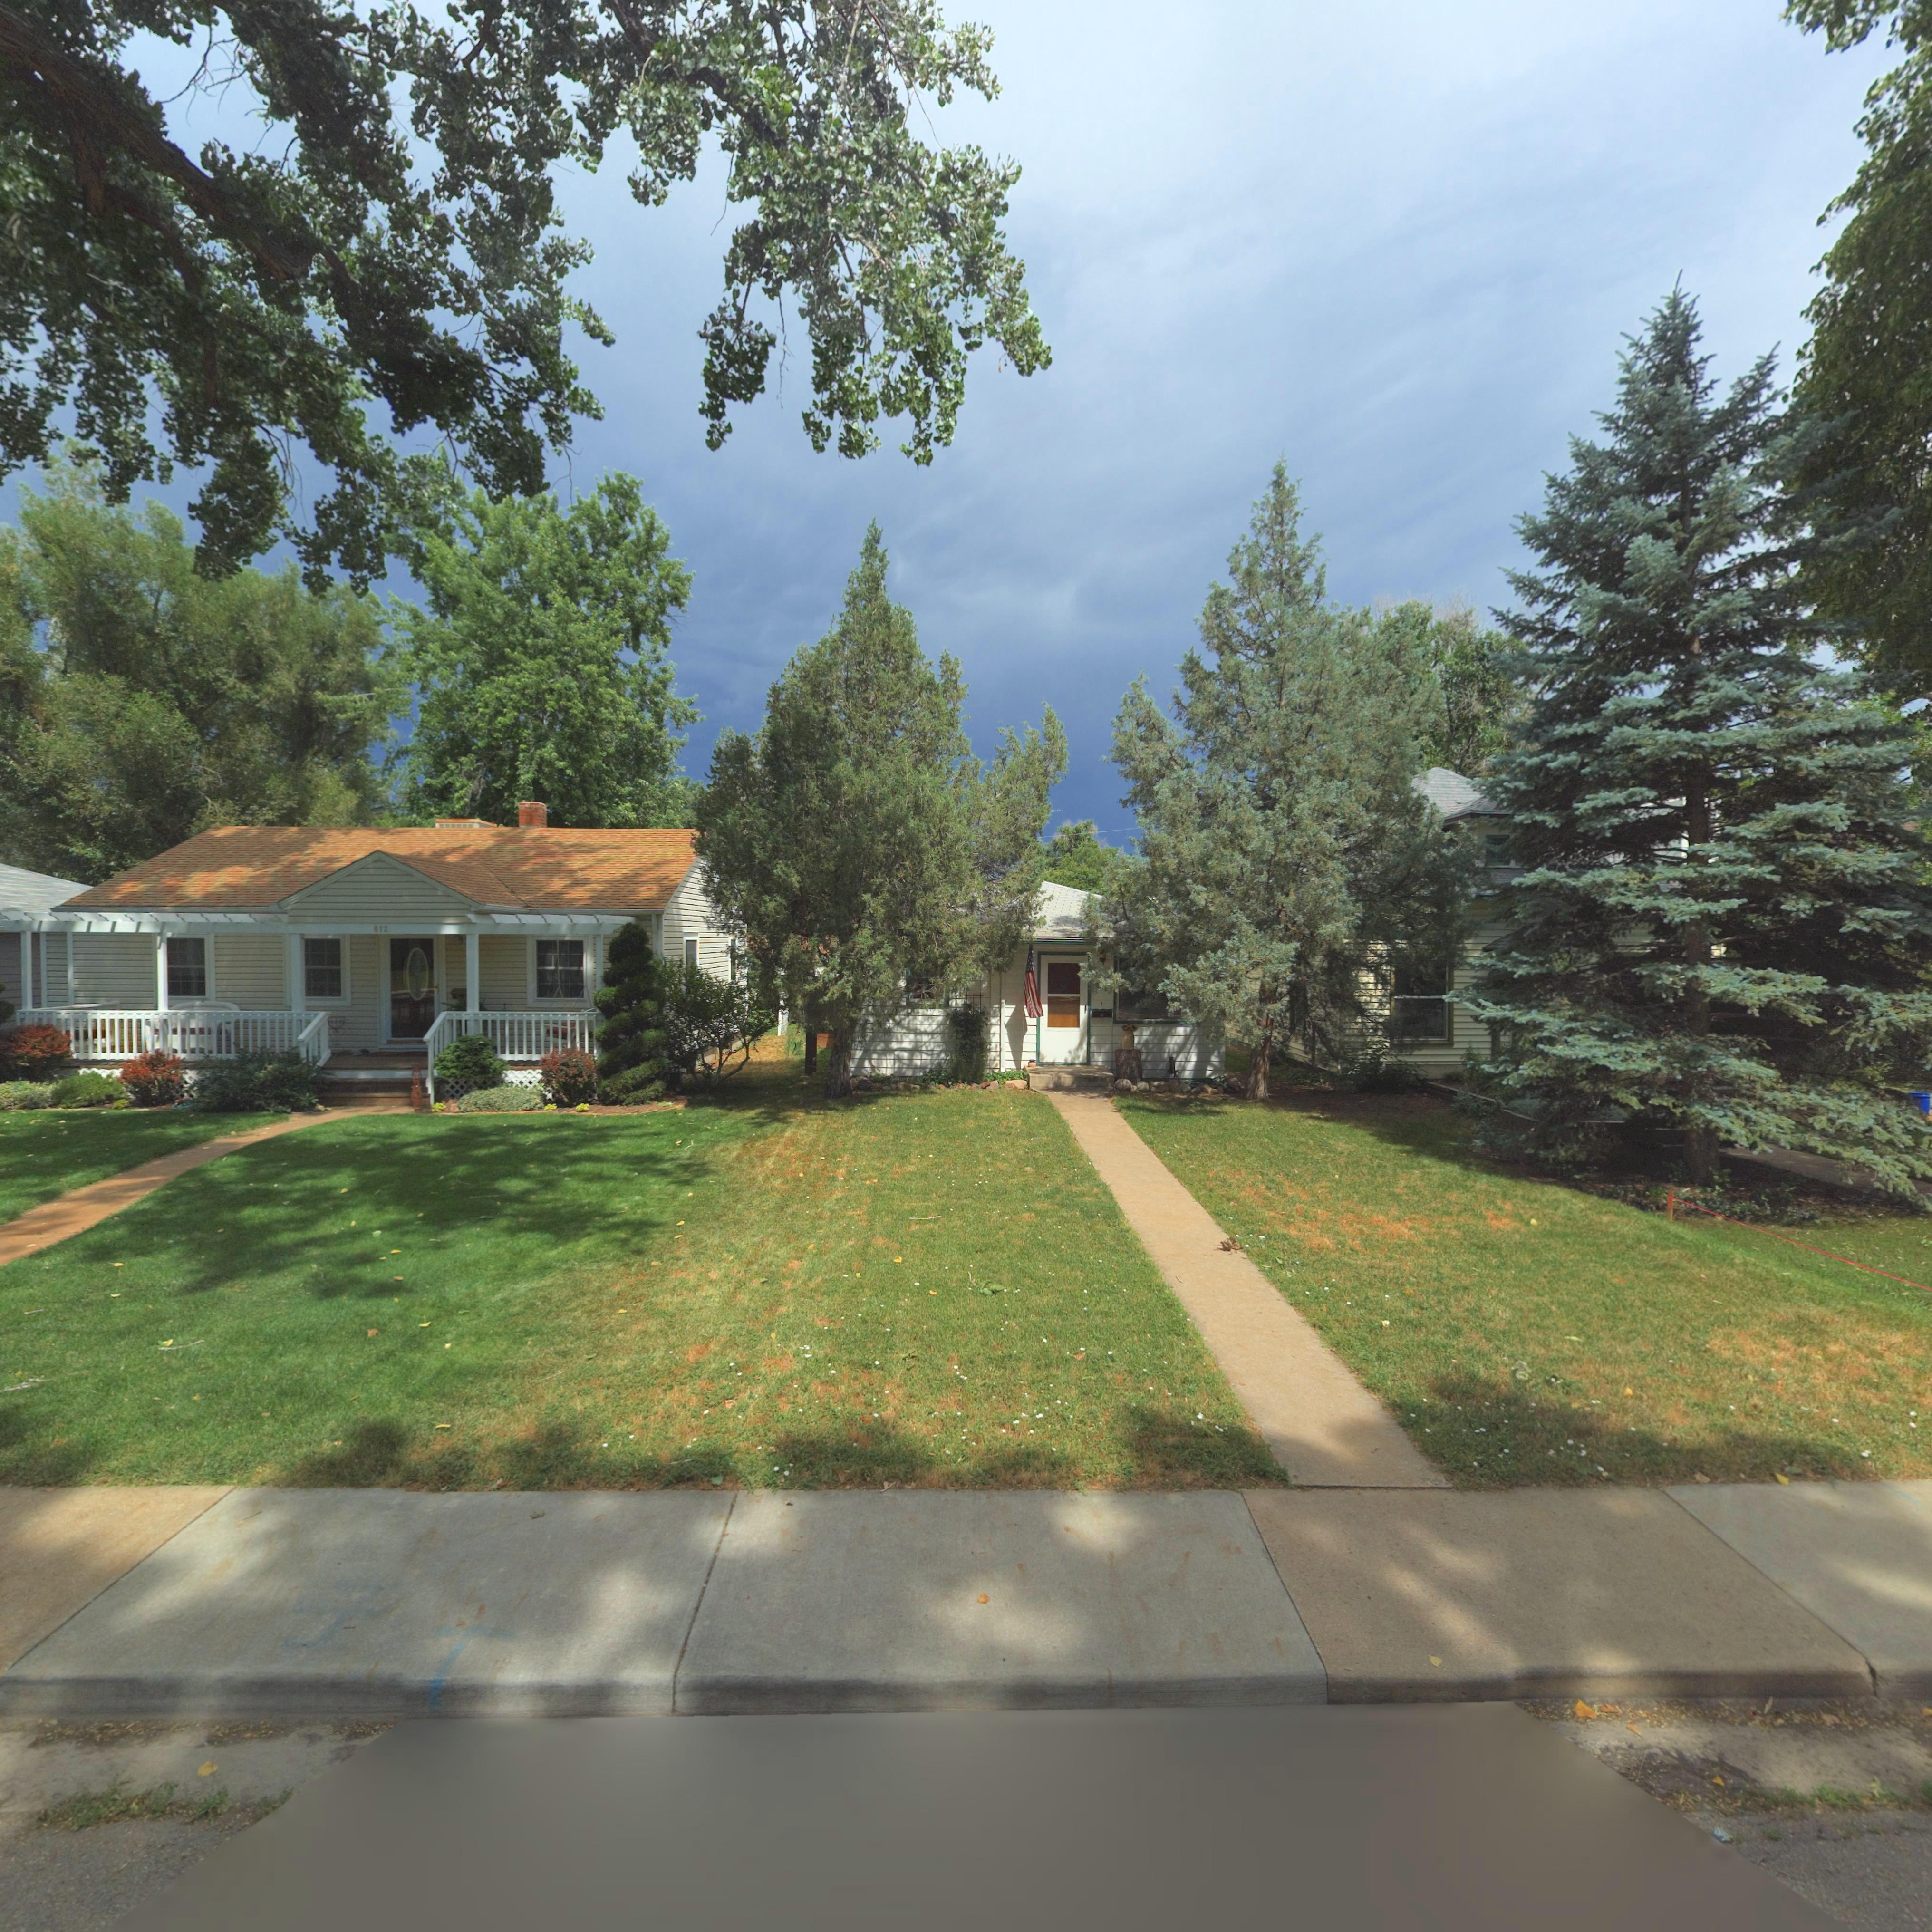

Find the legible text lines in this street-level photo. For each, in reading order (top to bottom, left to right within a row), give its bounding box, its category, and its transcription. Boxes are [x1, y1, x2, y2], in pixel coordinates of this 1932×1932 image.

[373, 925, 388, 932] StreetNumber: 812